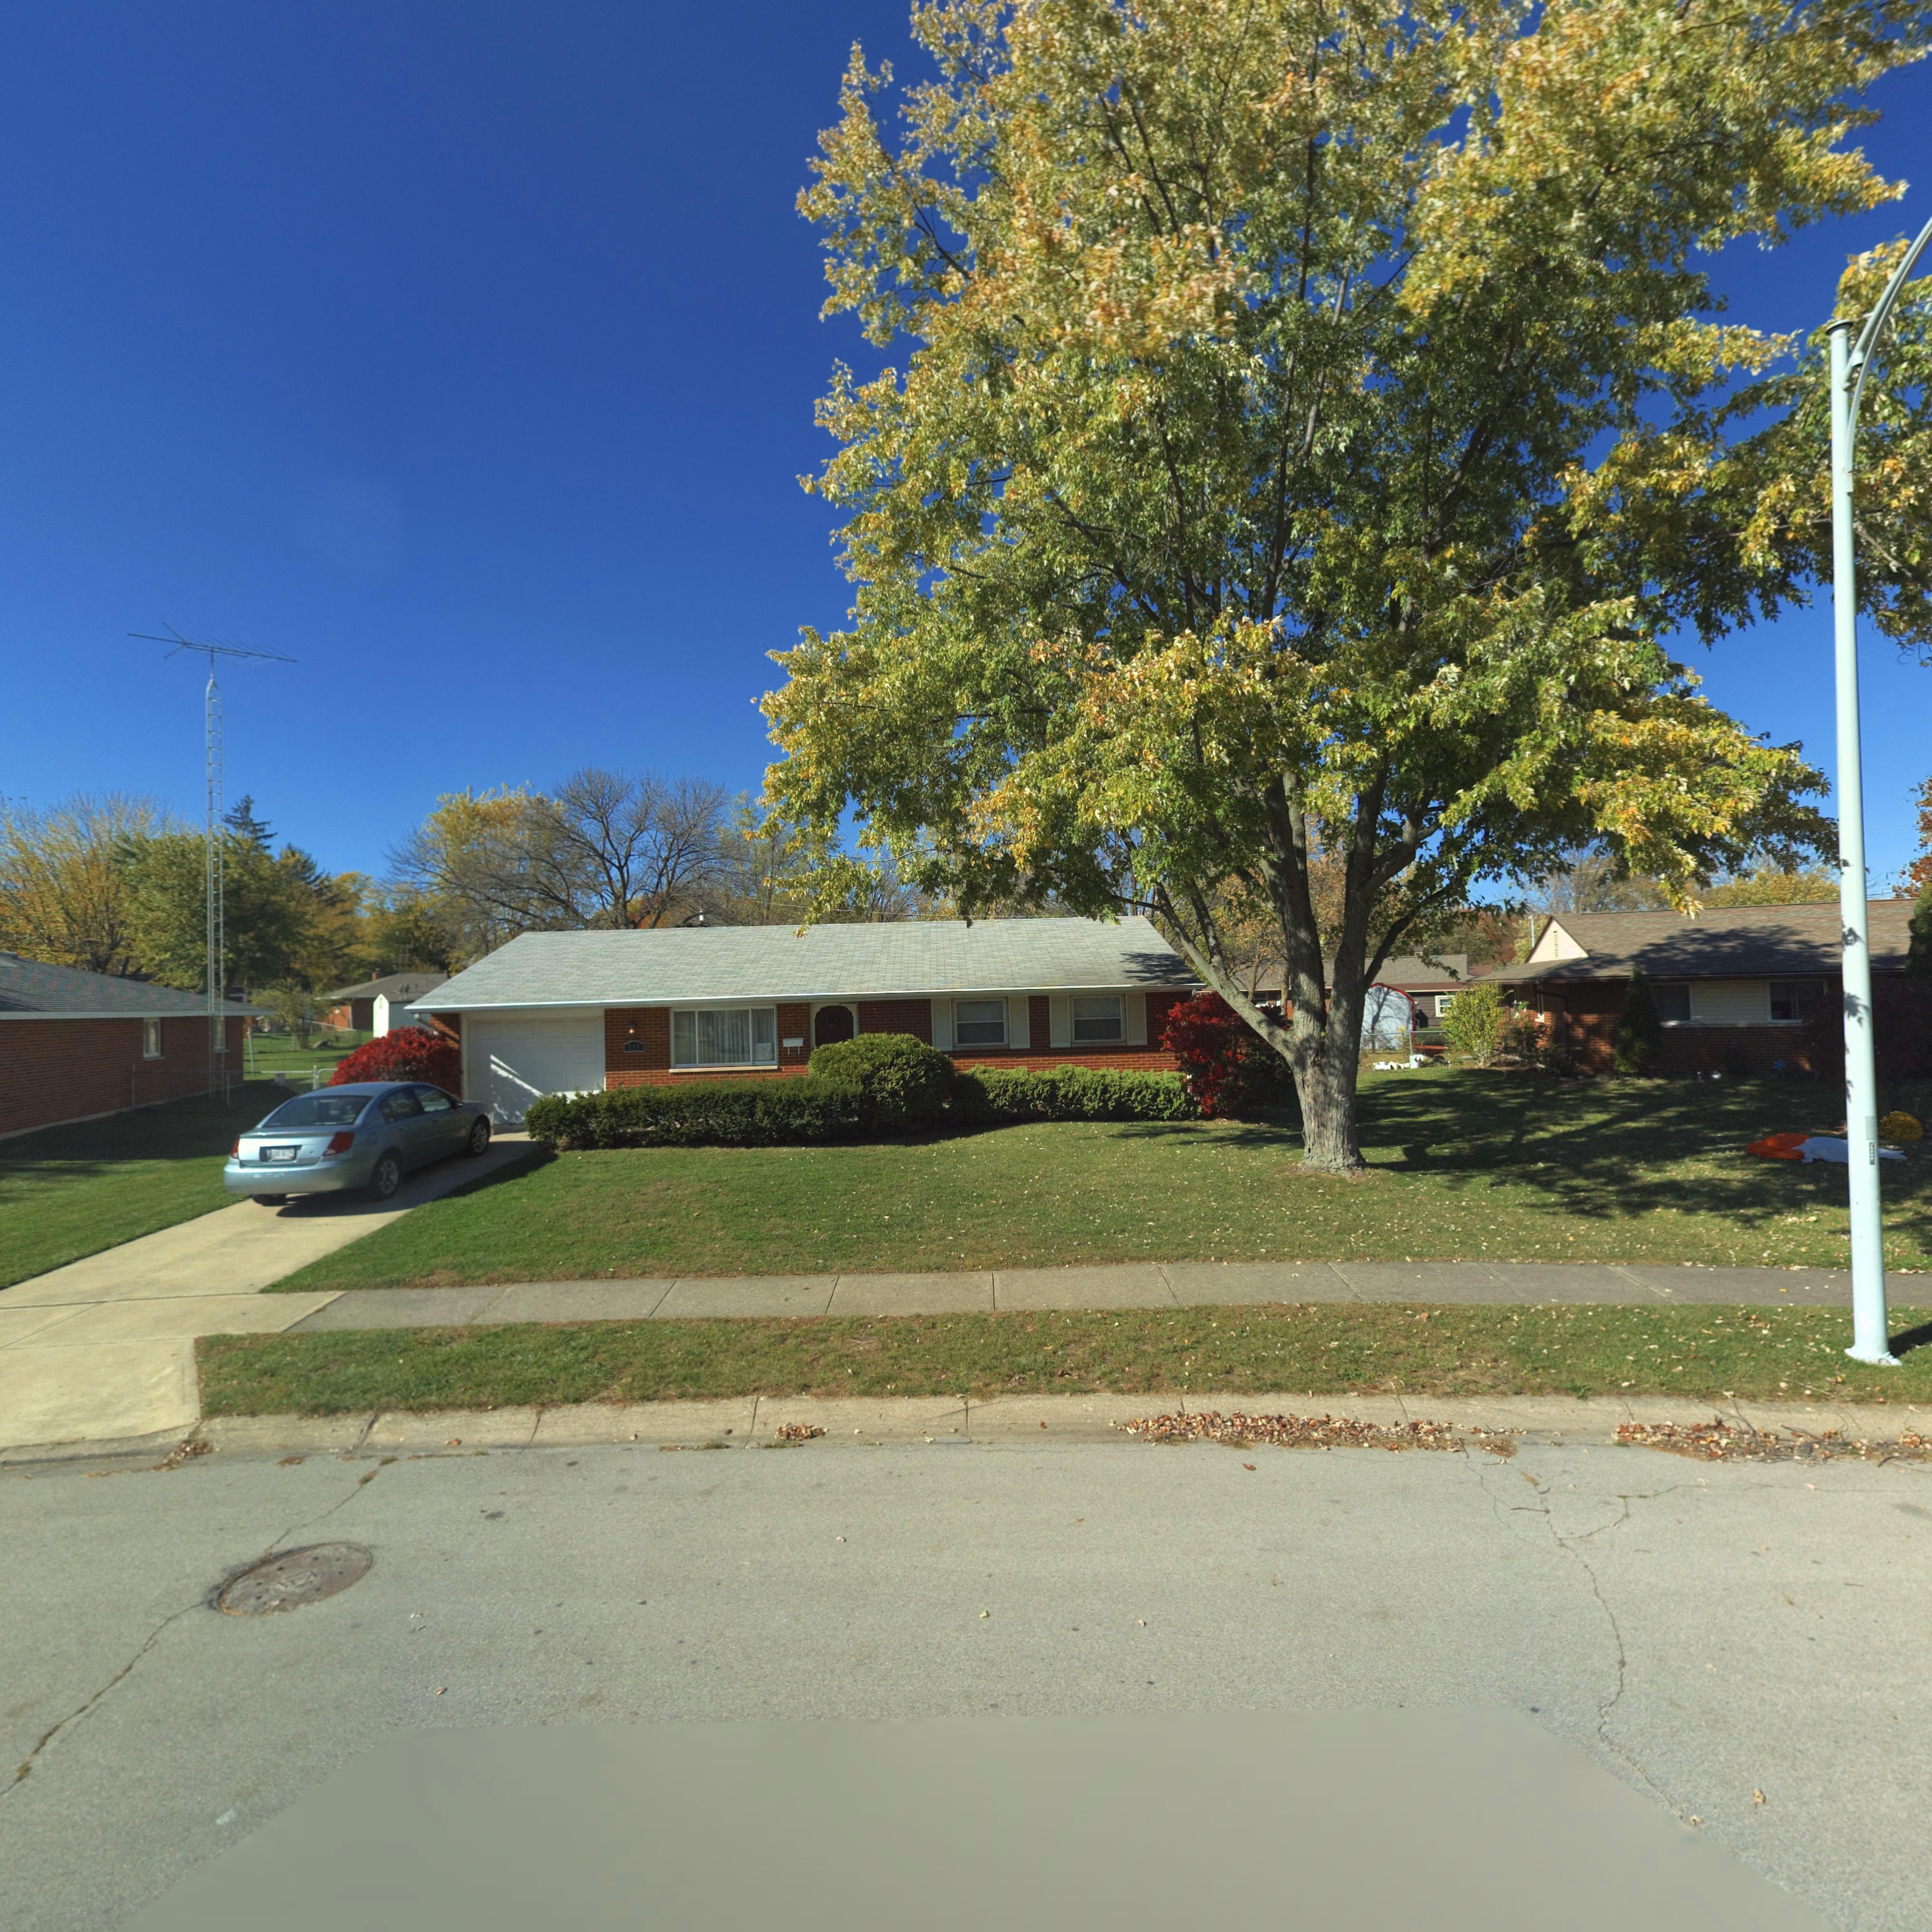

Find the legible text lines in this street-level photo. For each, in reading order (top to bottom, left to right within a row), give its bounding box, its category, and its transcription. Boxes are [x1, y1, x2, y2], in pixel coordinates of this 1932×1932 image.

[628, 1043, 640, 1053] StreetNumber: 123